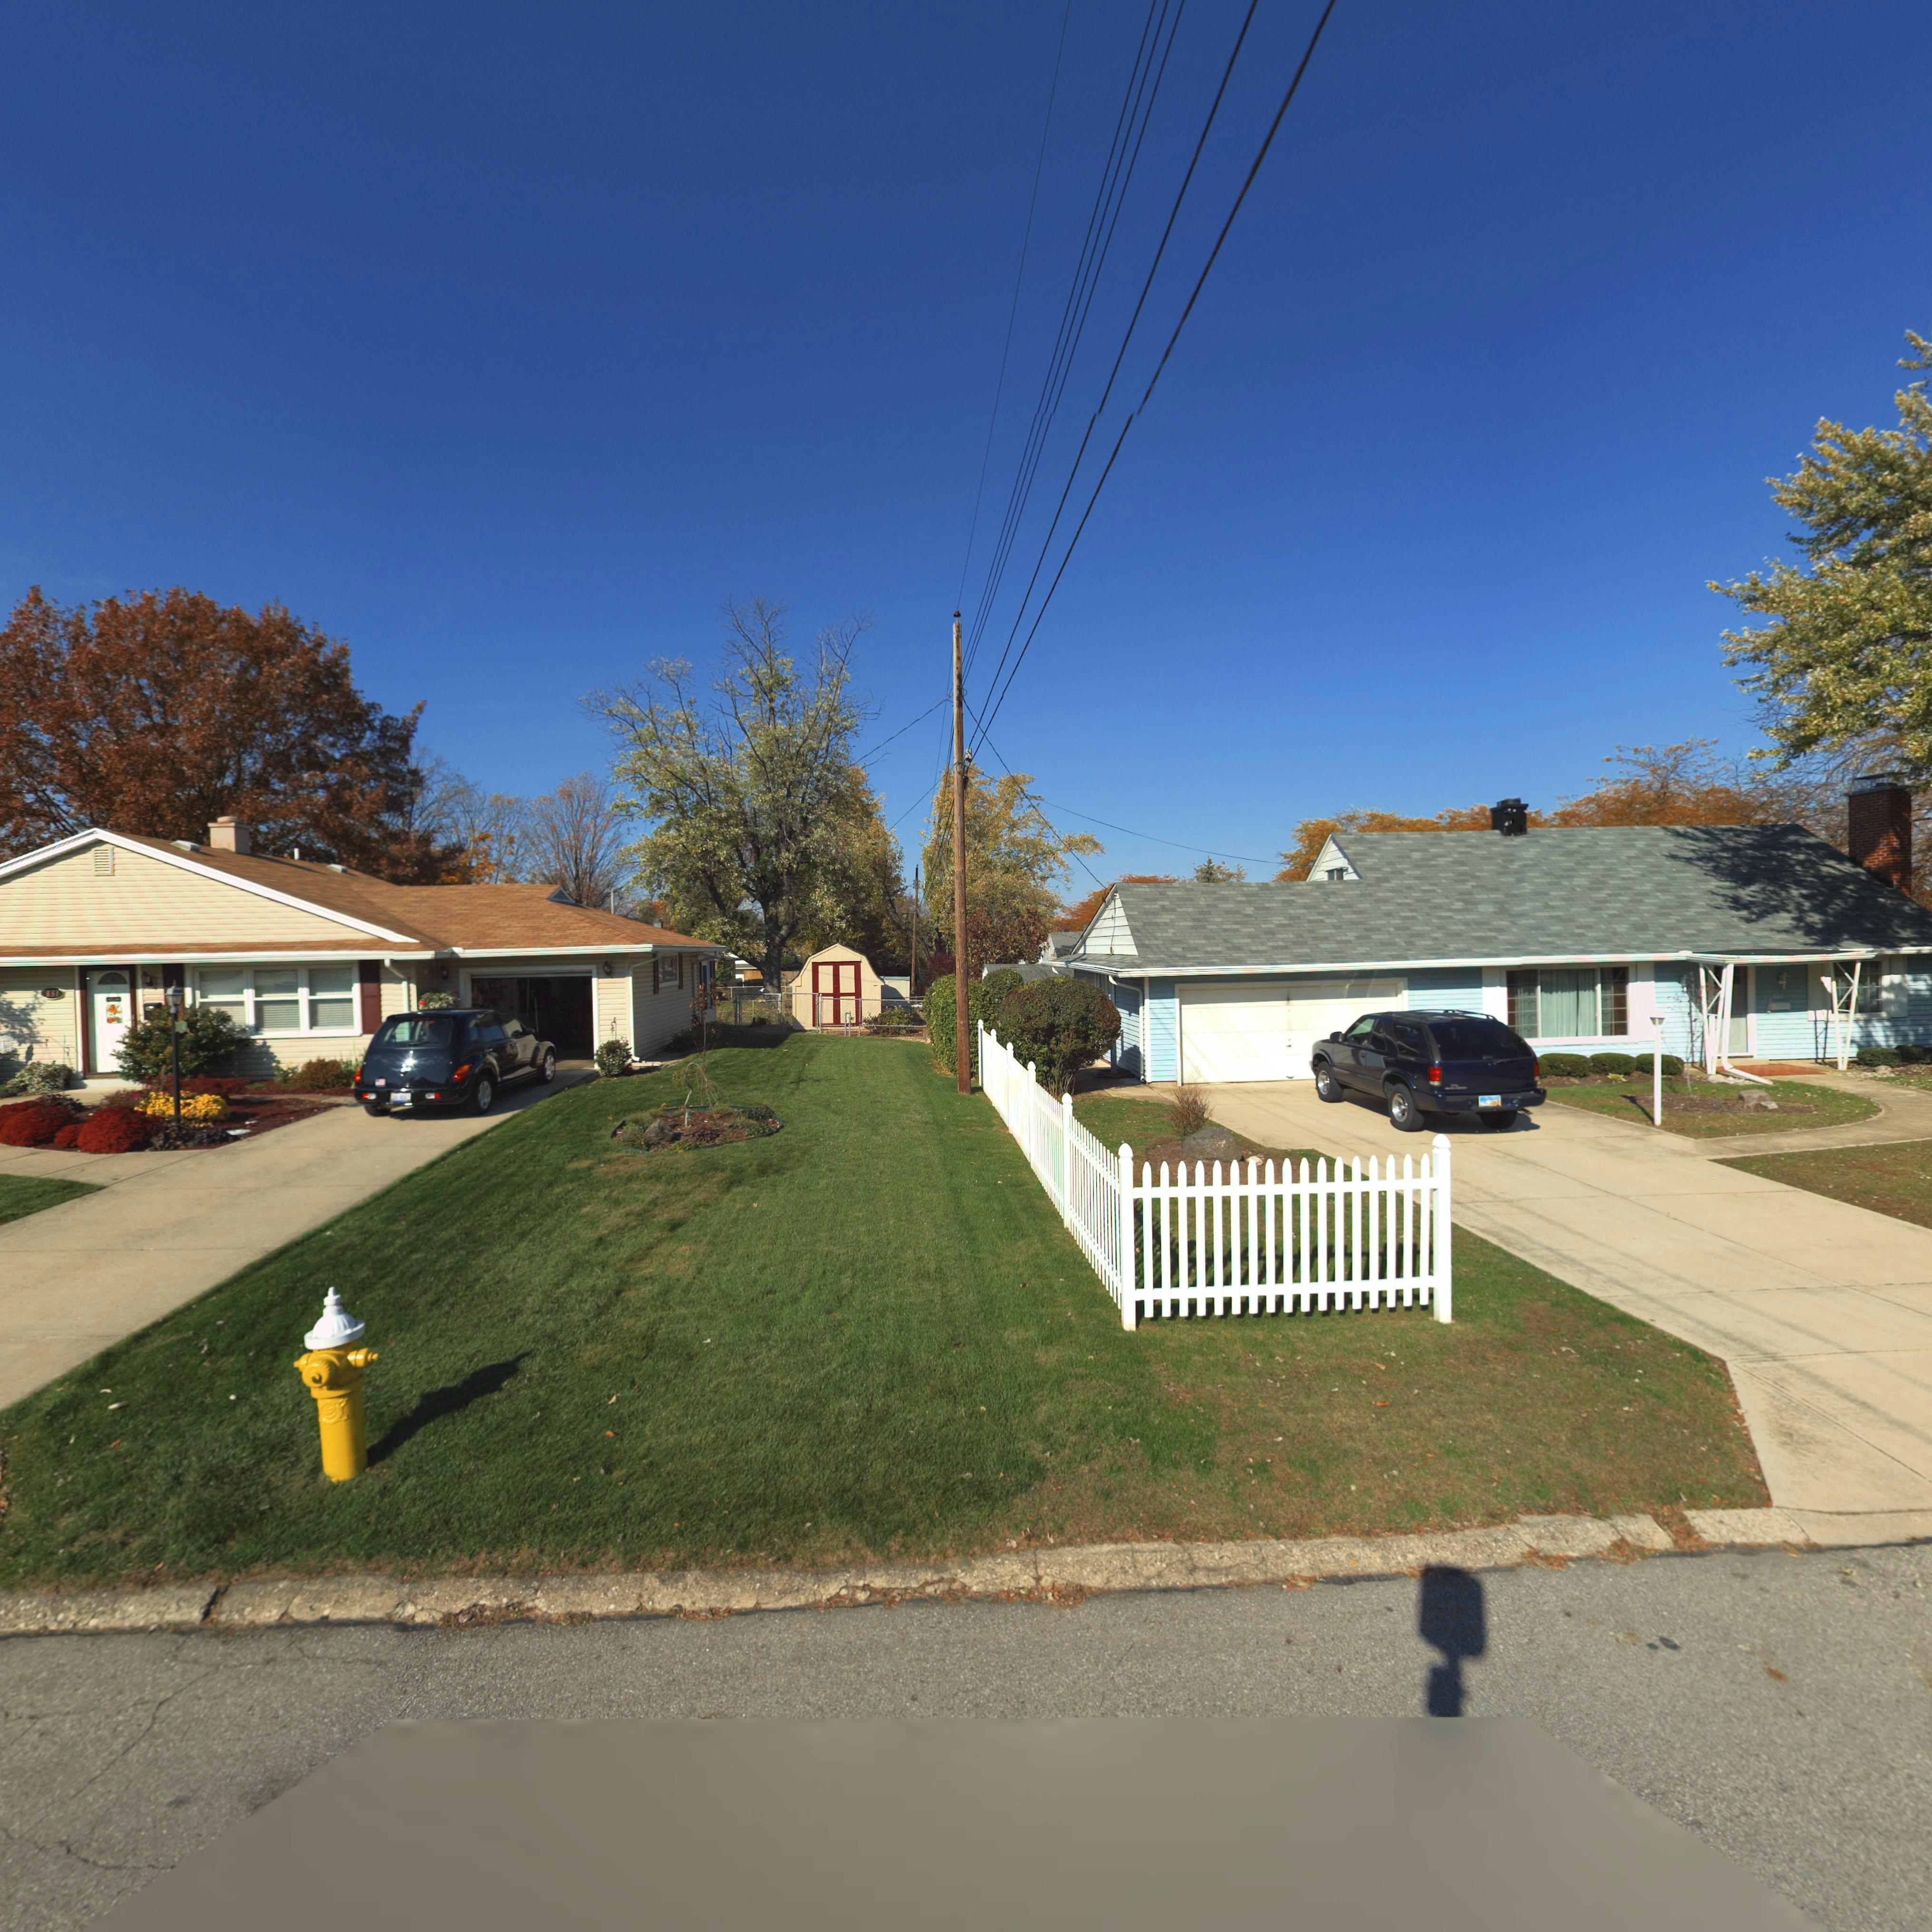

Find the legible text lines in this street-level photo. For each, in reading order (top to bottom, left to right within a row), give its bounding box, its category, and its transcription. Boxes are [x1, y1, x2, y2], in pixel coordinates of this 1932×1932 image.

[46, 989, 59, 997] StreetNumber: 857